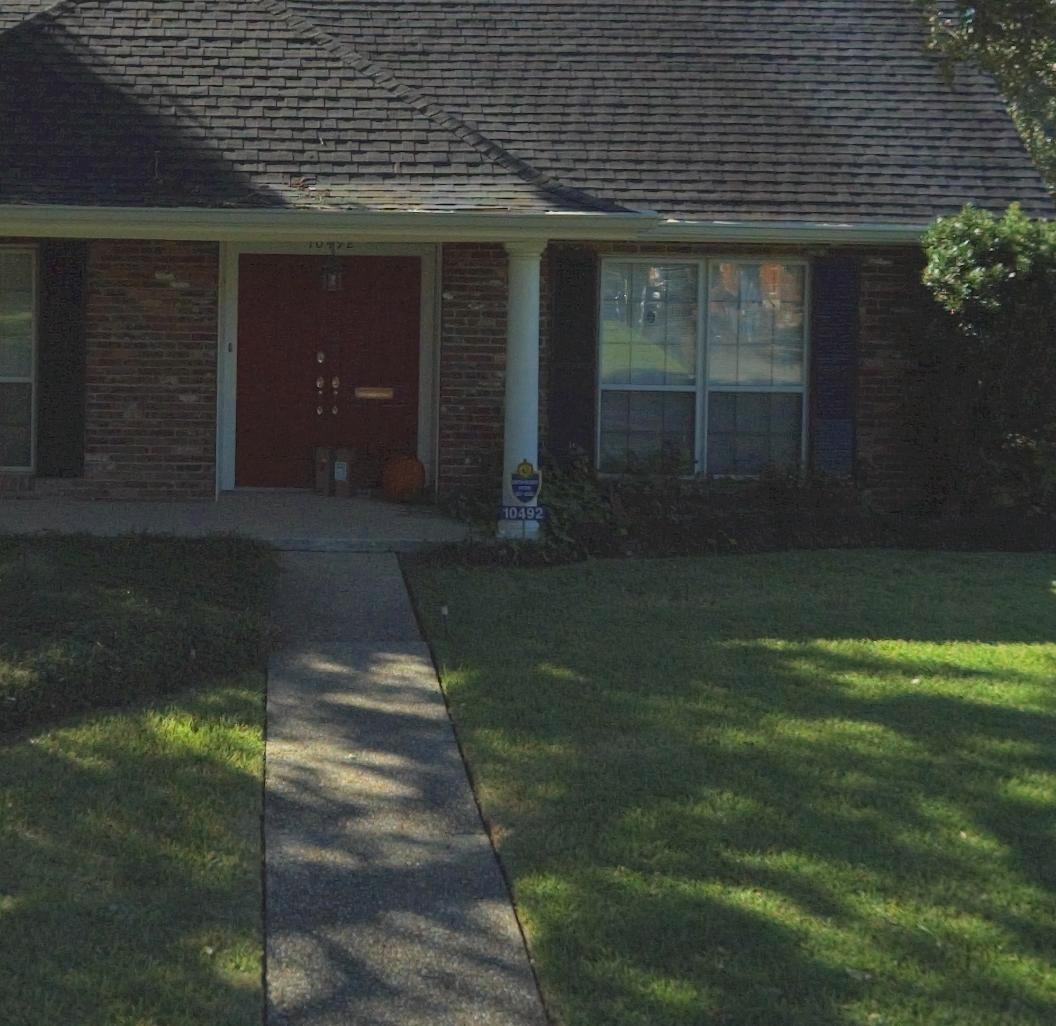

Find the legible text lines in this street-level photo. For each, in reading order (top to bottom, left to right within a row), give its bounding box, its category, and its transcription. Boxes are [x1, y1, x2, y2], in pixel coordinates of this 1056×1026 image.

[501, 505, 545, 521] StreetNumber: 10492